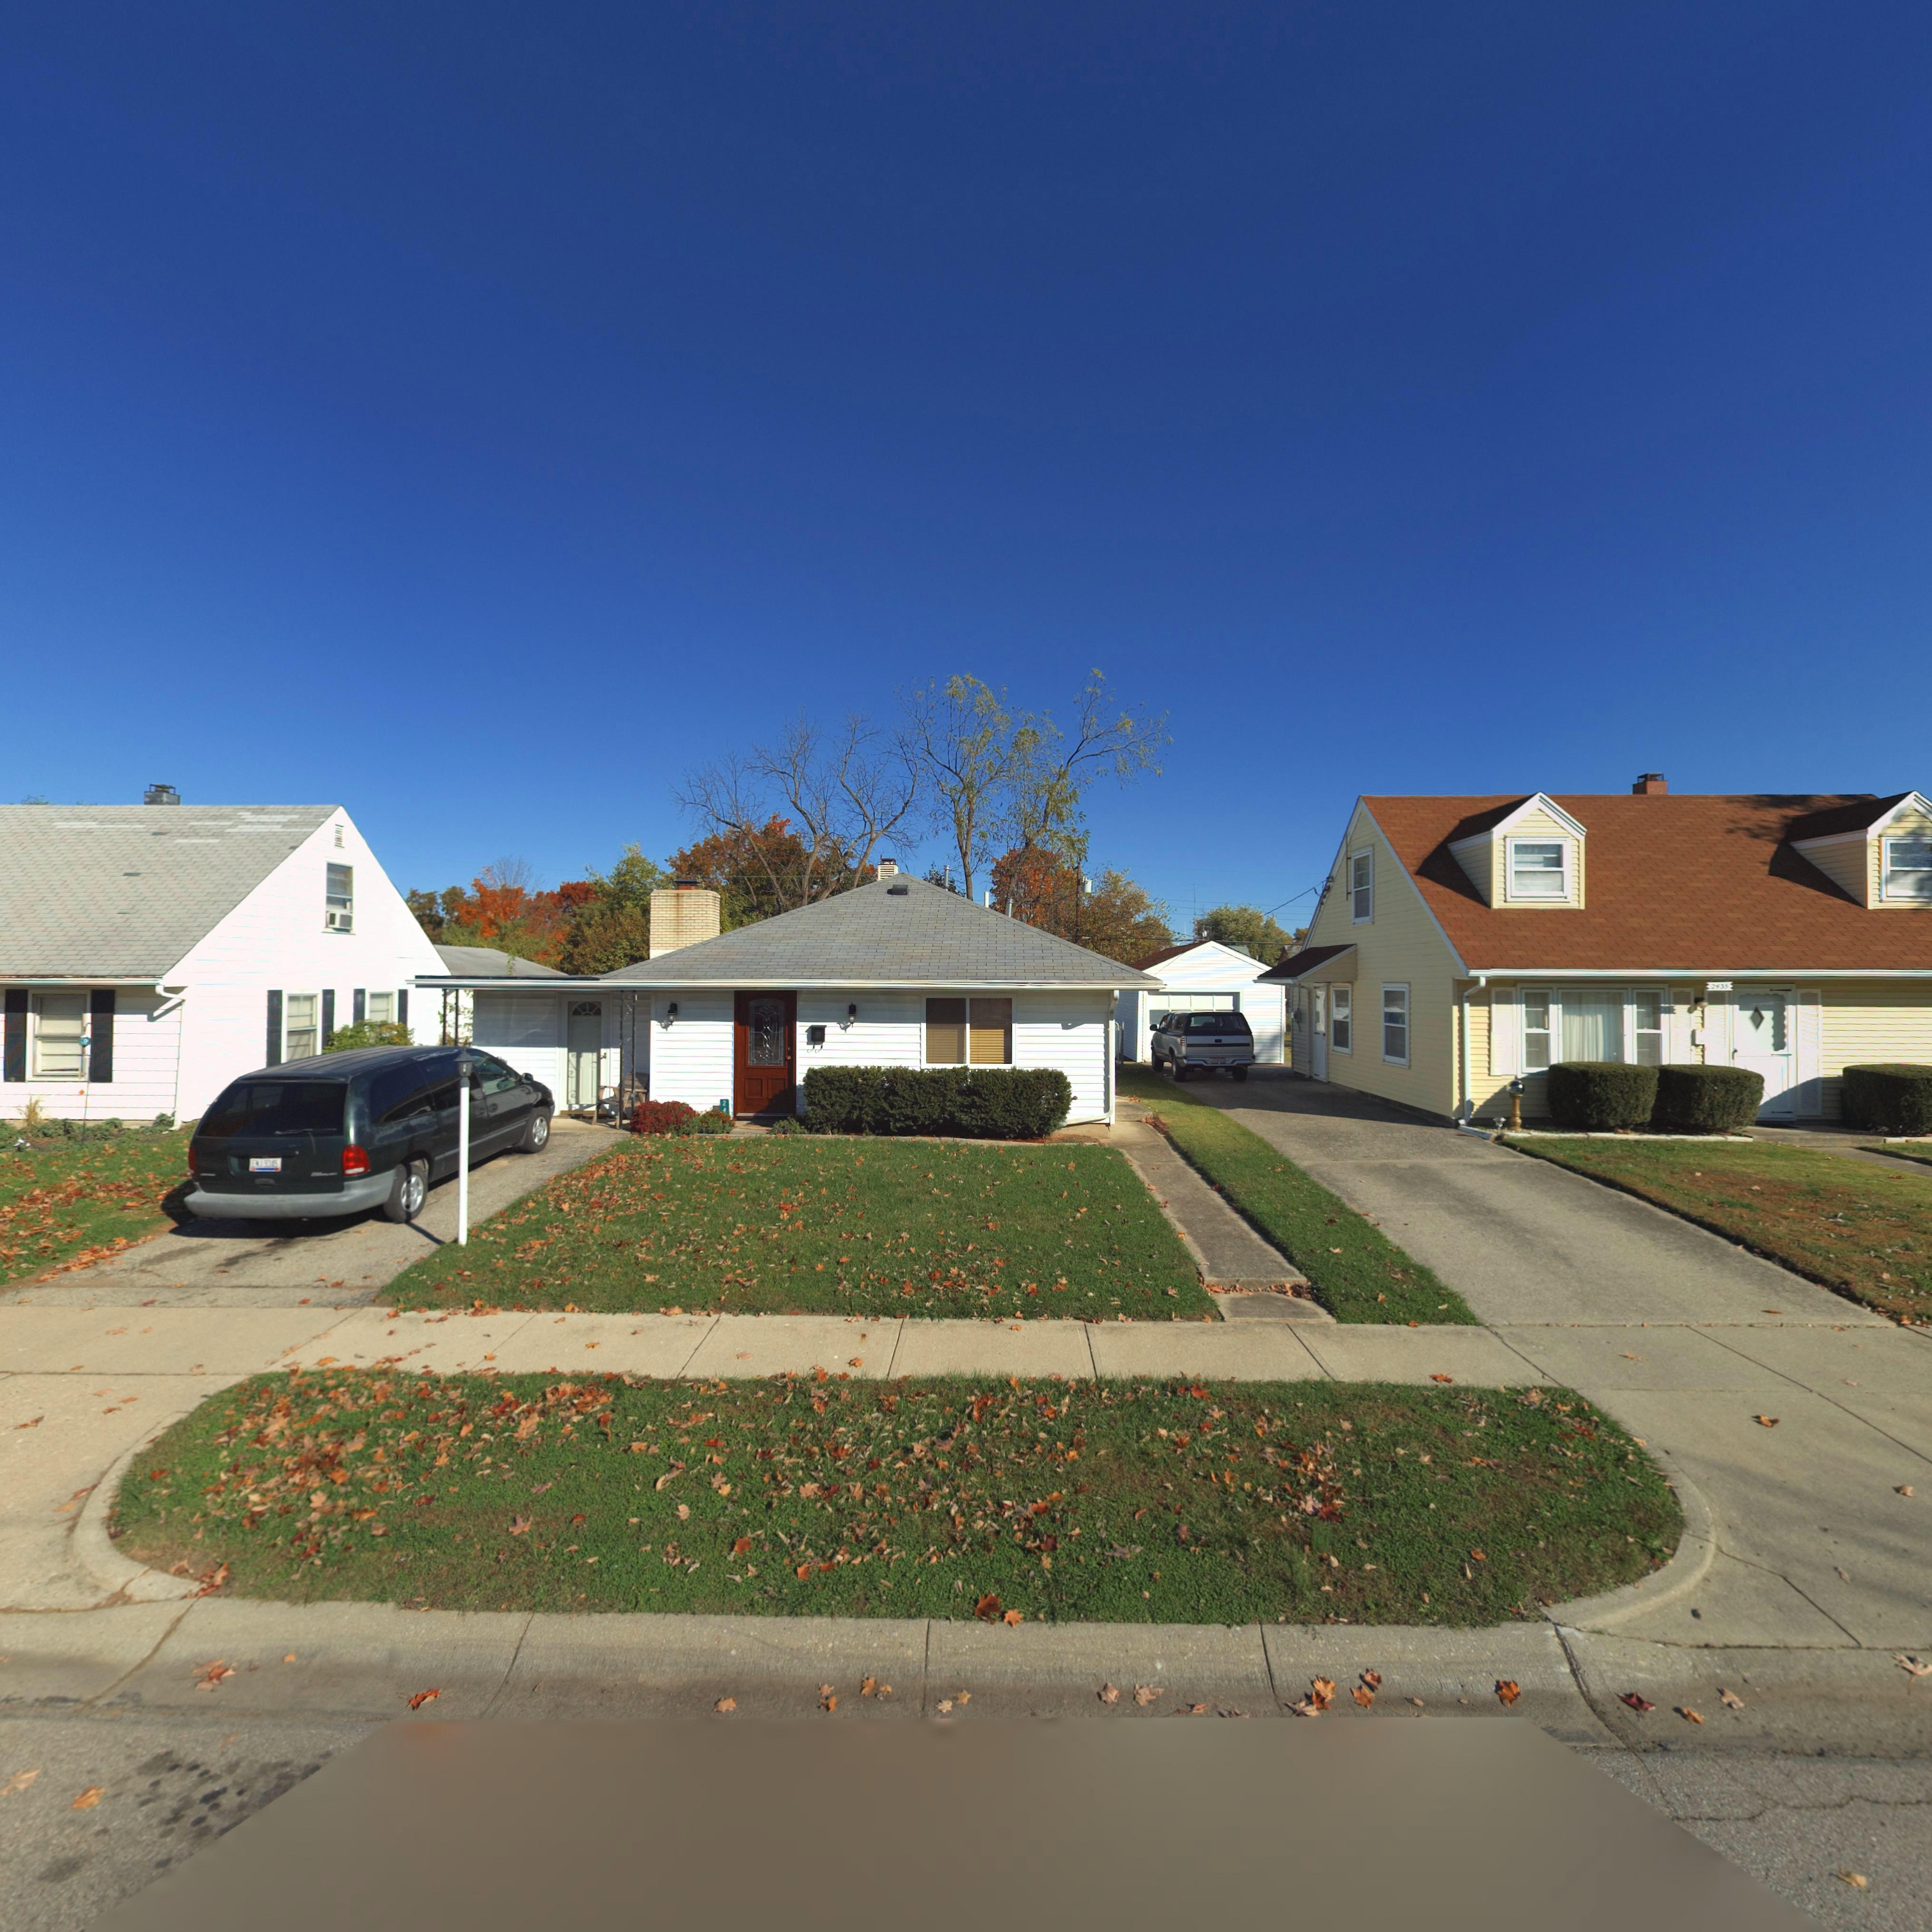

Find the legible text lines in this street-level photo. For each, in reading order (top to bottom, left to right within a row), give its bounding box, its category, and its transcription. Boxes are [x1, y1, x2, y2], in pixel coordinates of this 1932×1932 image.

[722, 1099, 727, 1107] StreetNumber: 2